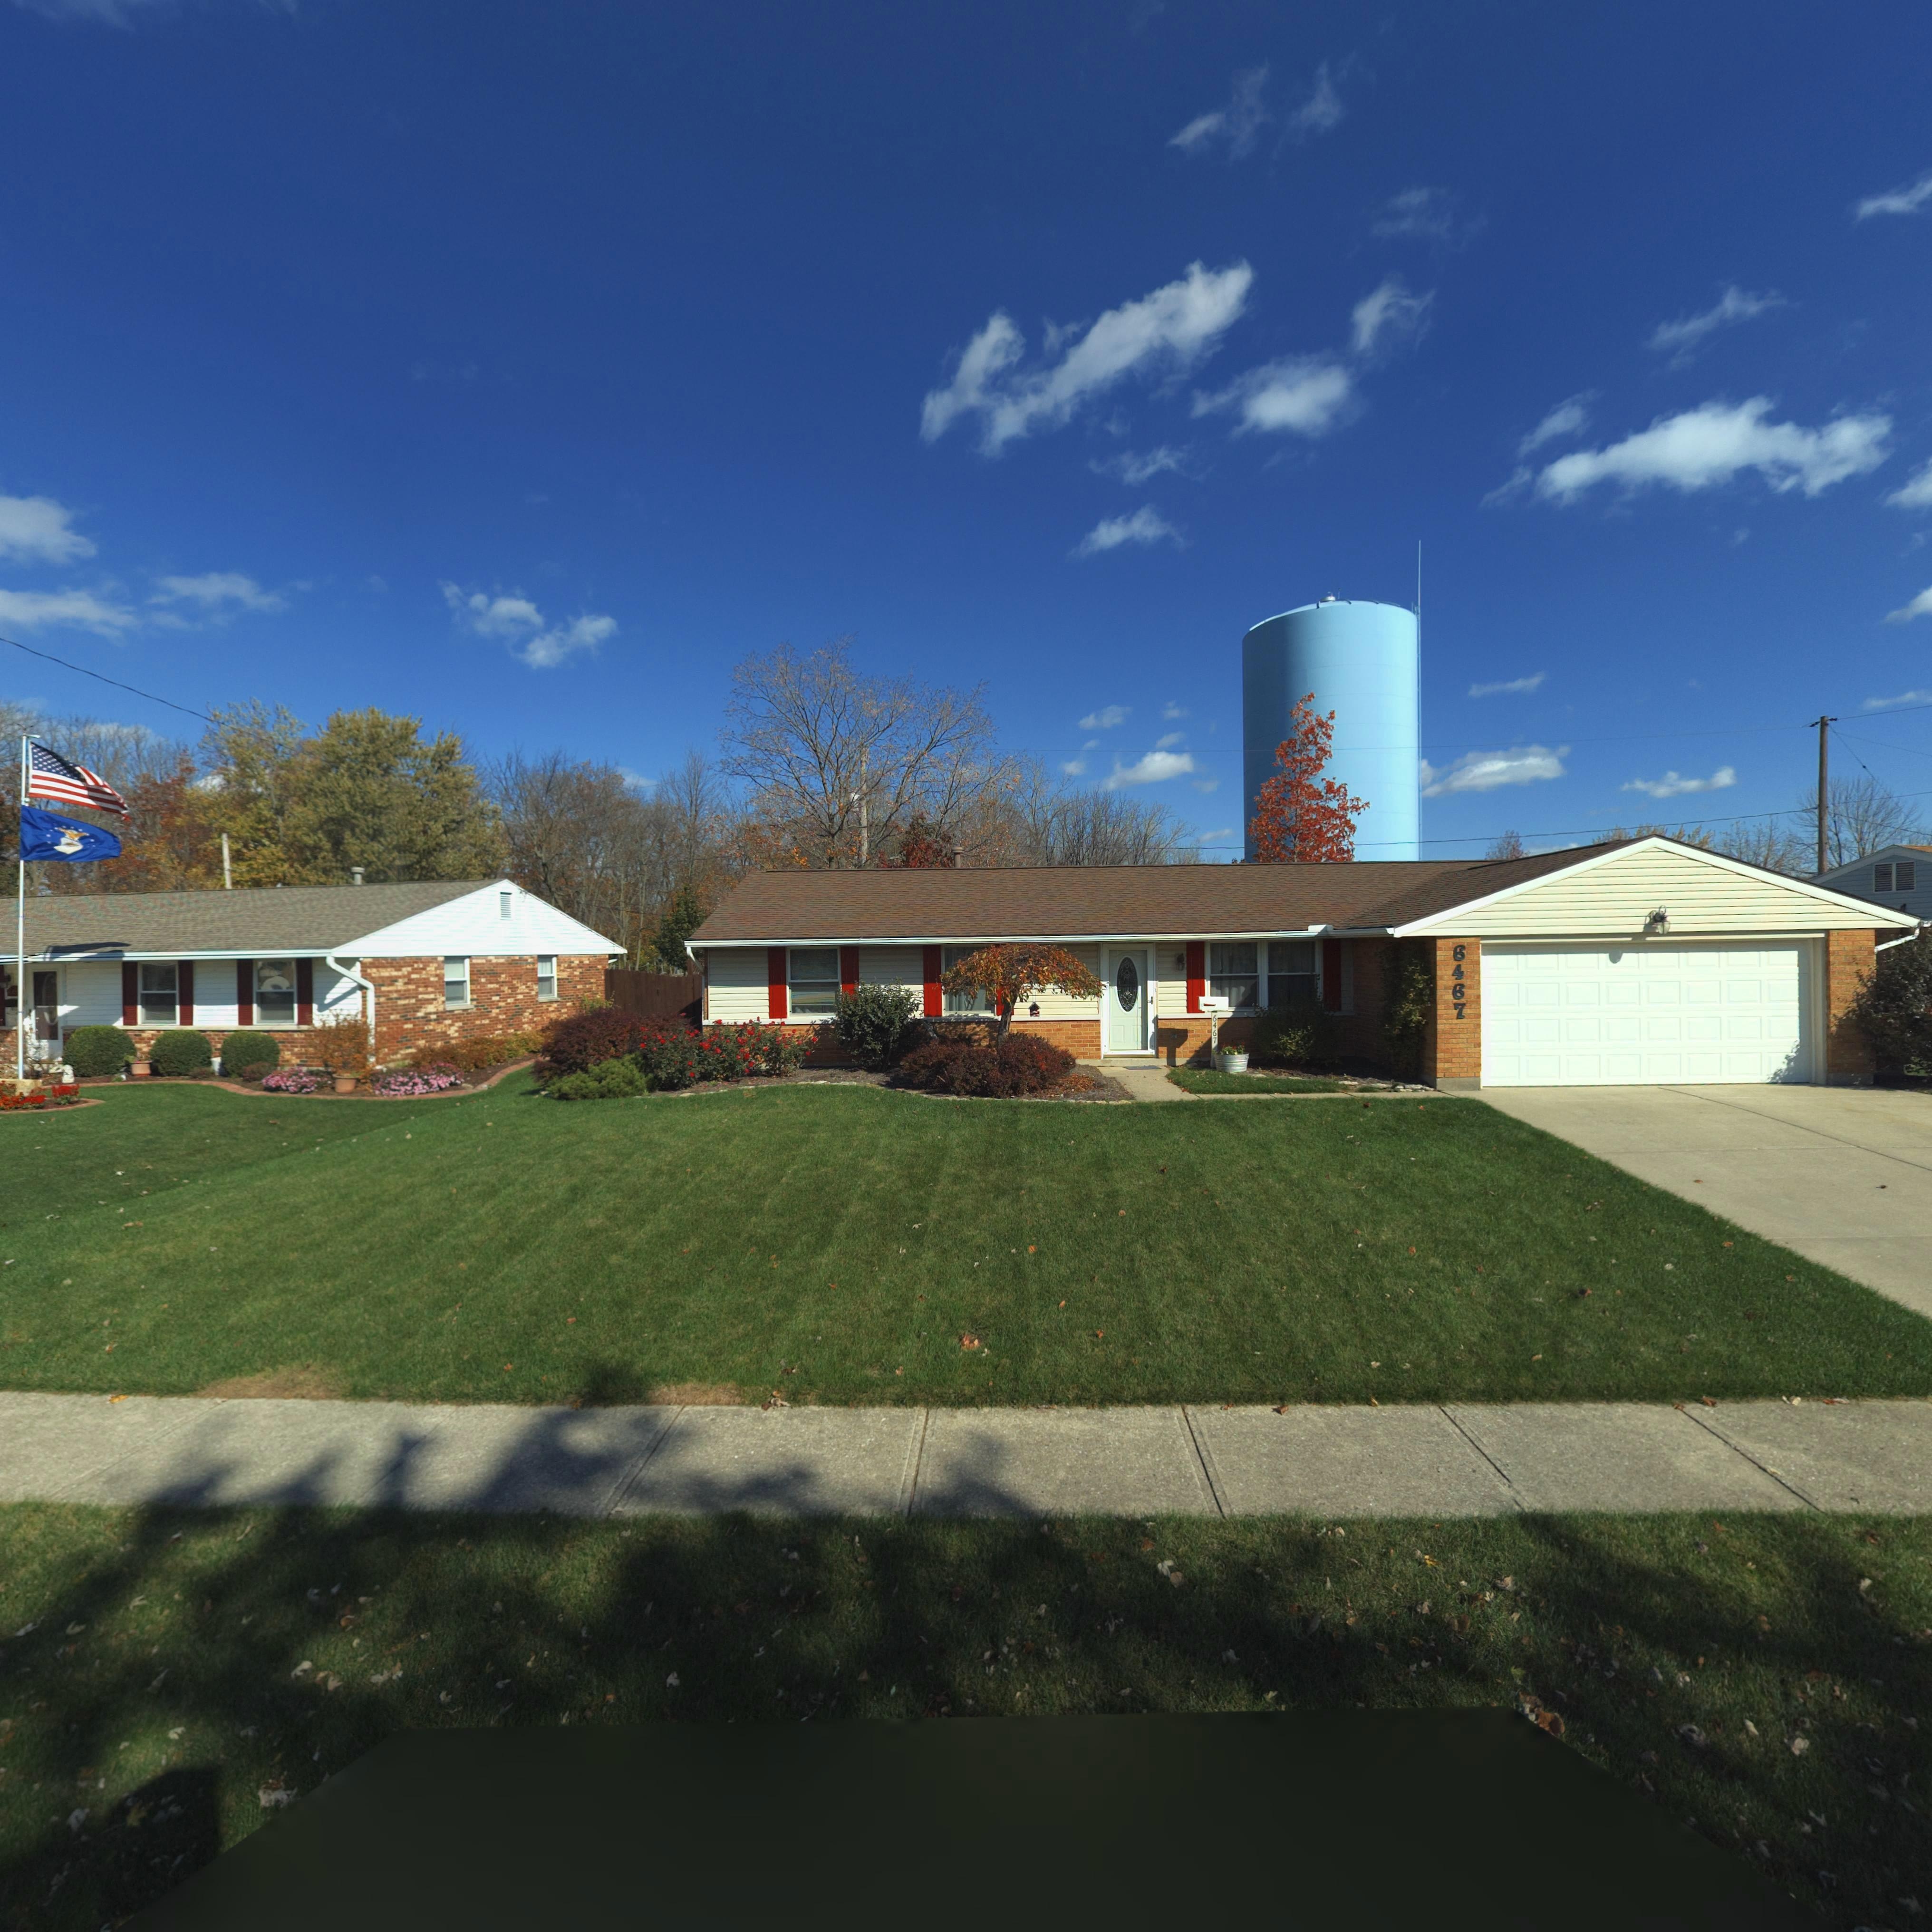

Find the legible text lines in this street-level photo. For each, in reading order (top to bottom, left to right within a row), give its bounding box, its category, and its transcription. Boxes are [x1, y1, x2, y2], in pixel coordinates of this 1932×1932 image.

[1451, 944, 1467, 1021] StreetNumber: 6467
[1212, 1014, 1217, 1044] StreetNumber: 6467